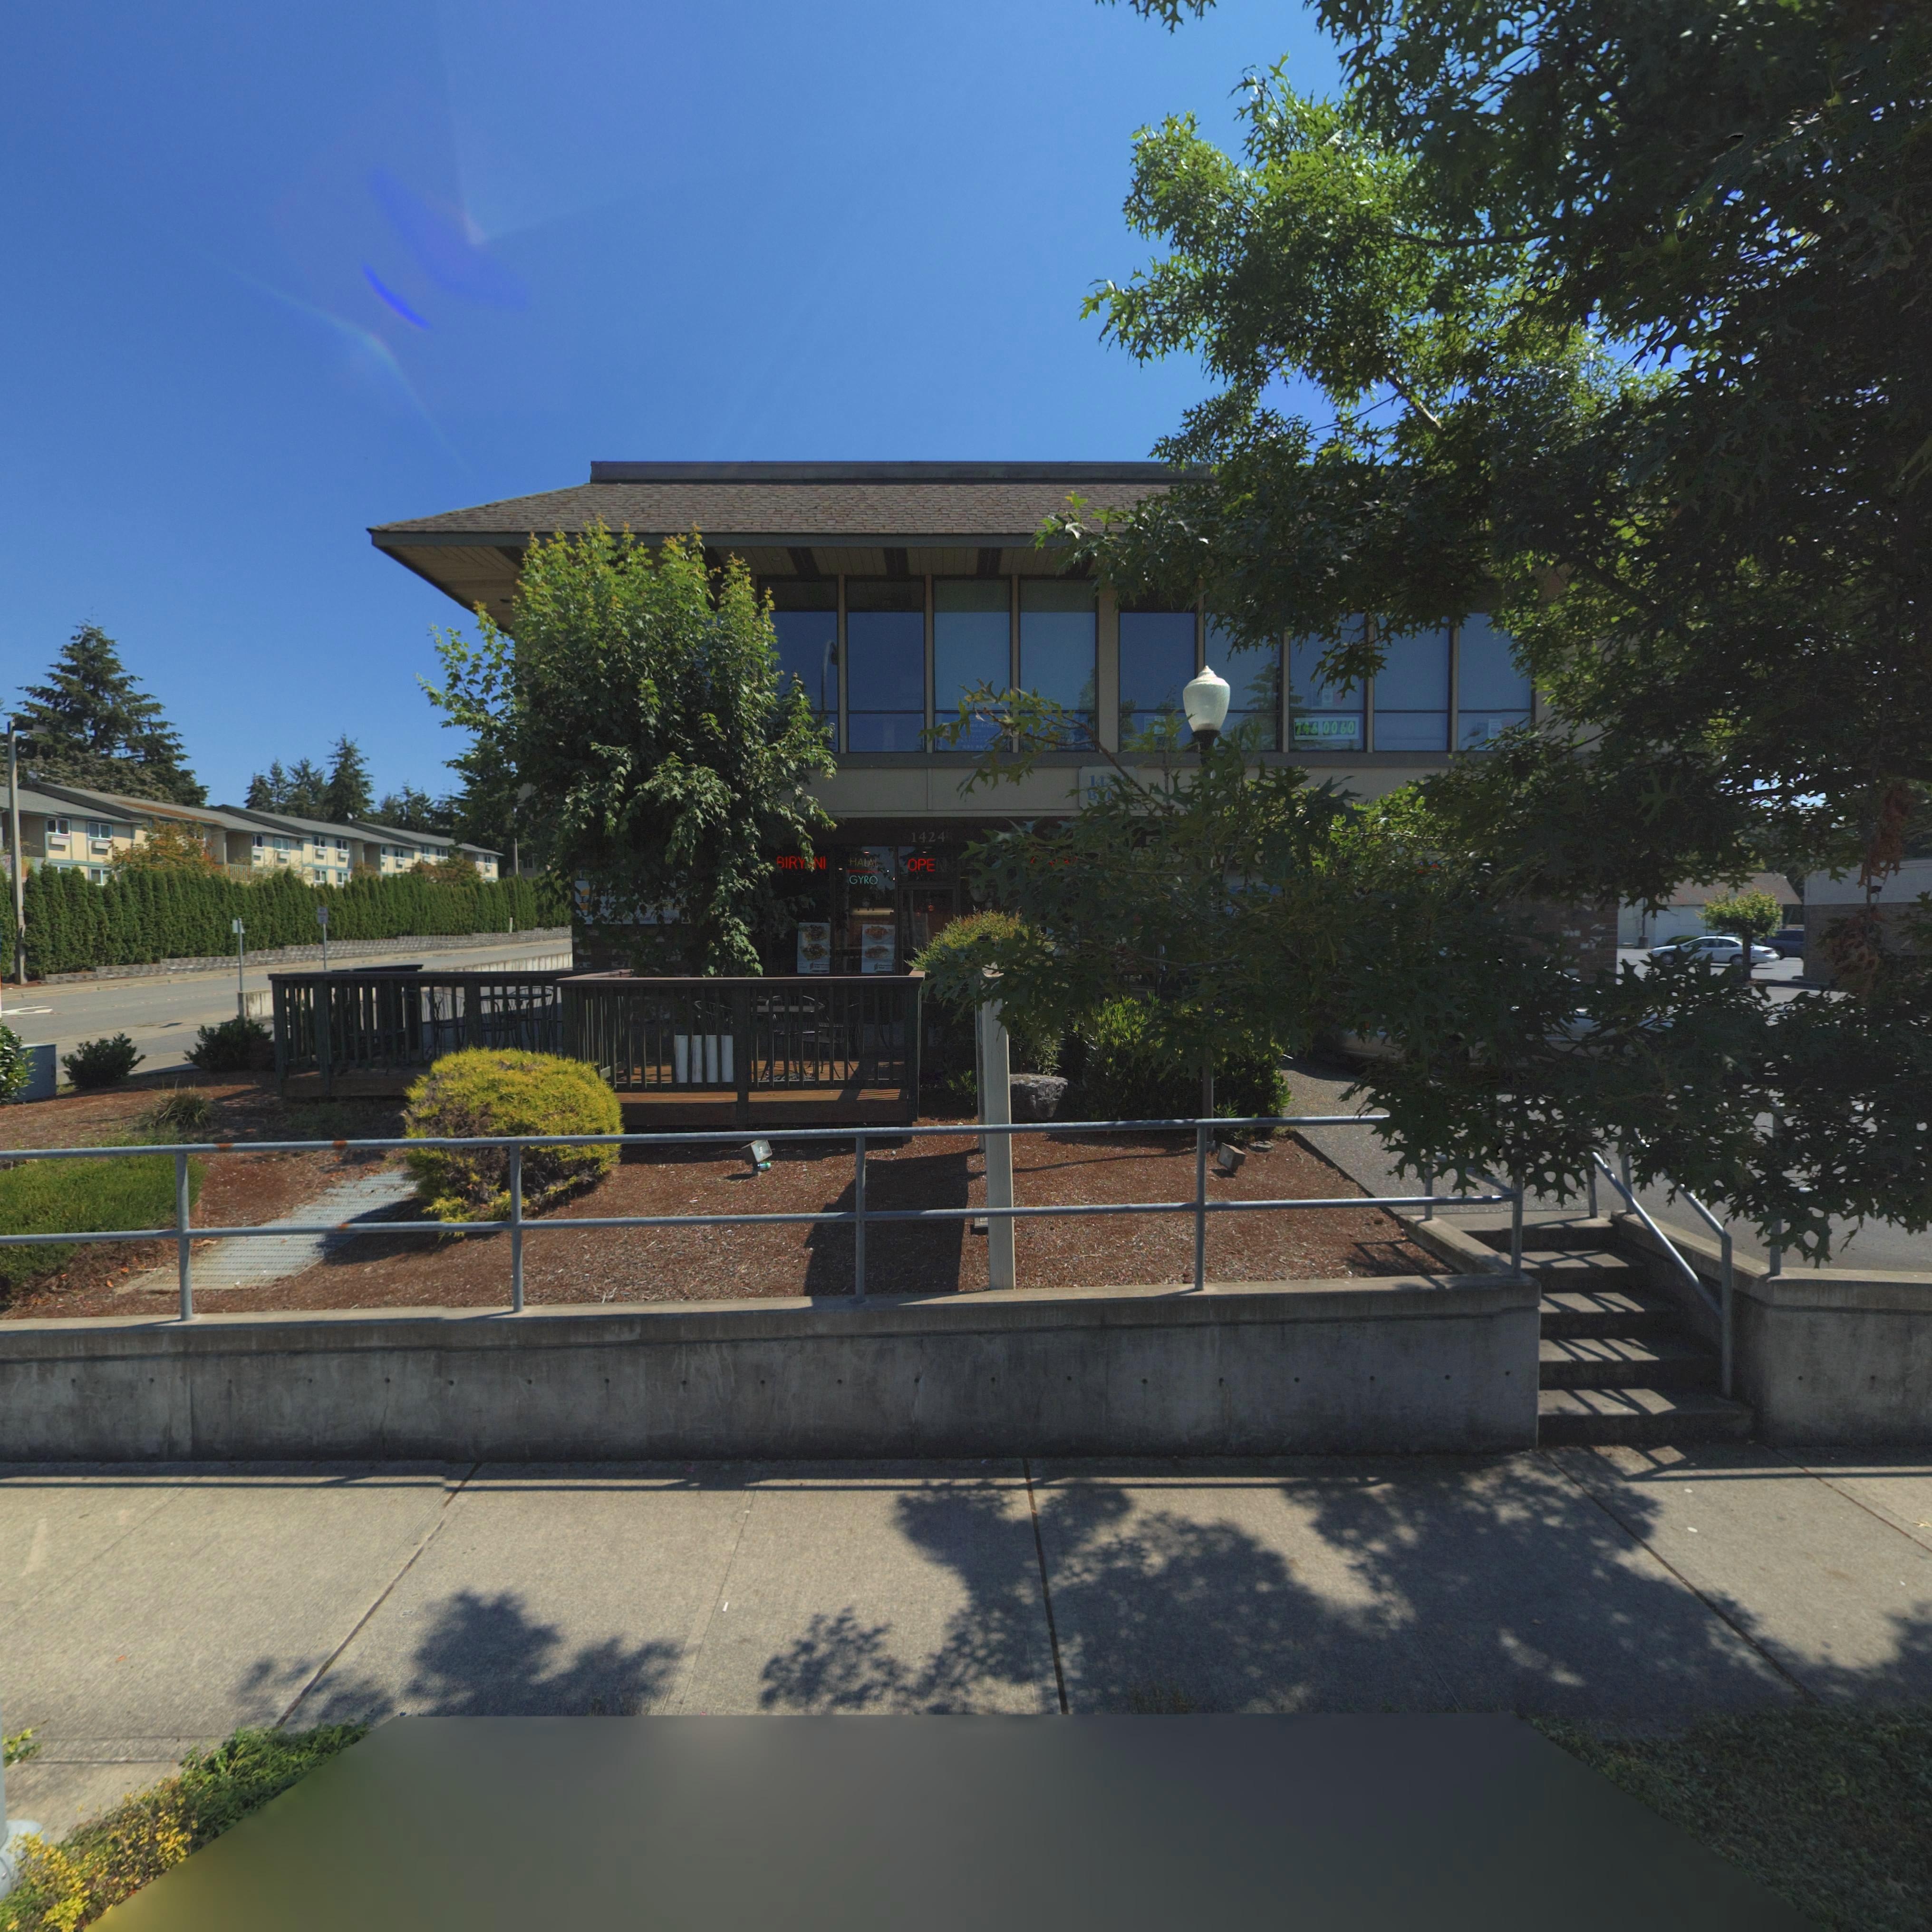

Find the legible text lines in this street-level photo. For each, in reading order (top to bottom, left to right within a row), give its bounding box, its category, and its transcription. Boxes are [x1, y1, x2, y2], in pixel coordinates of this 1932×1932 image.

[911, 830, 946, 843] StreetNumber: 1424